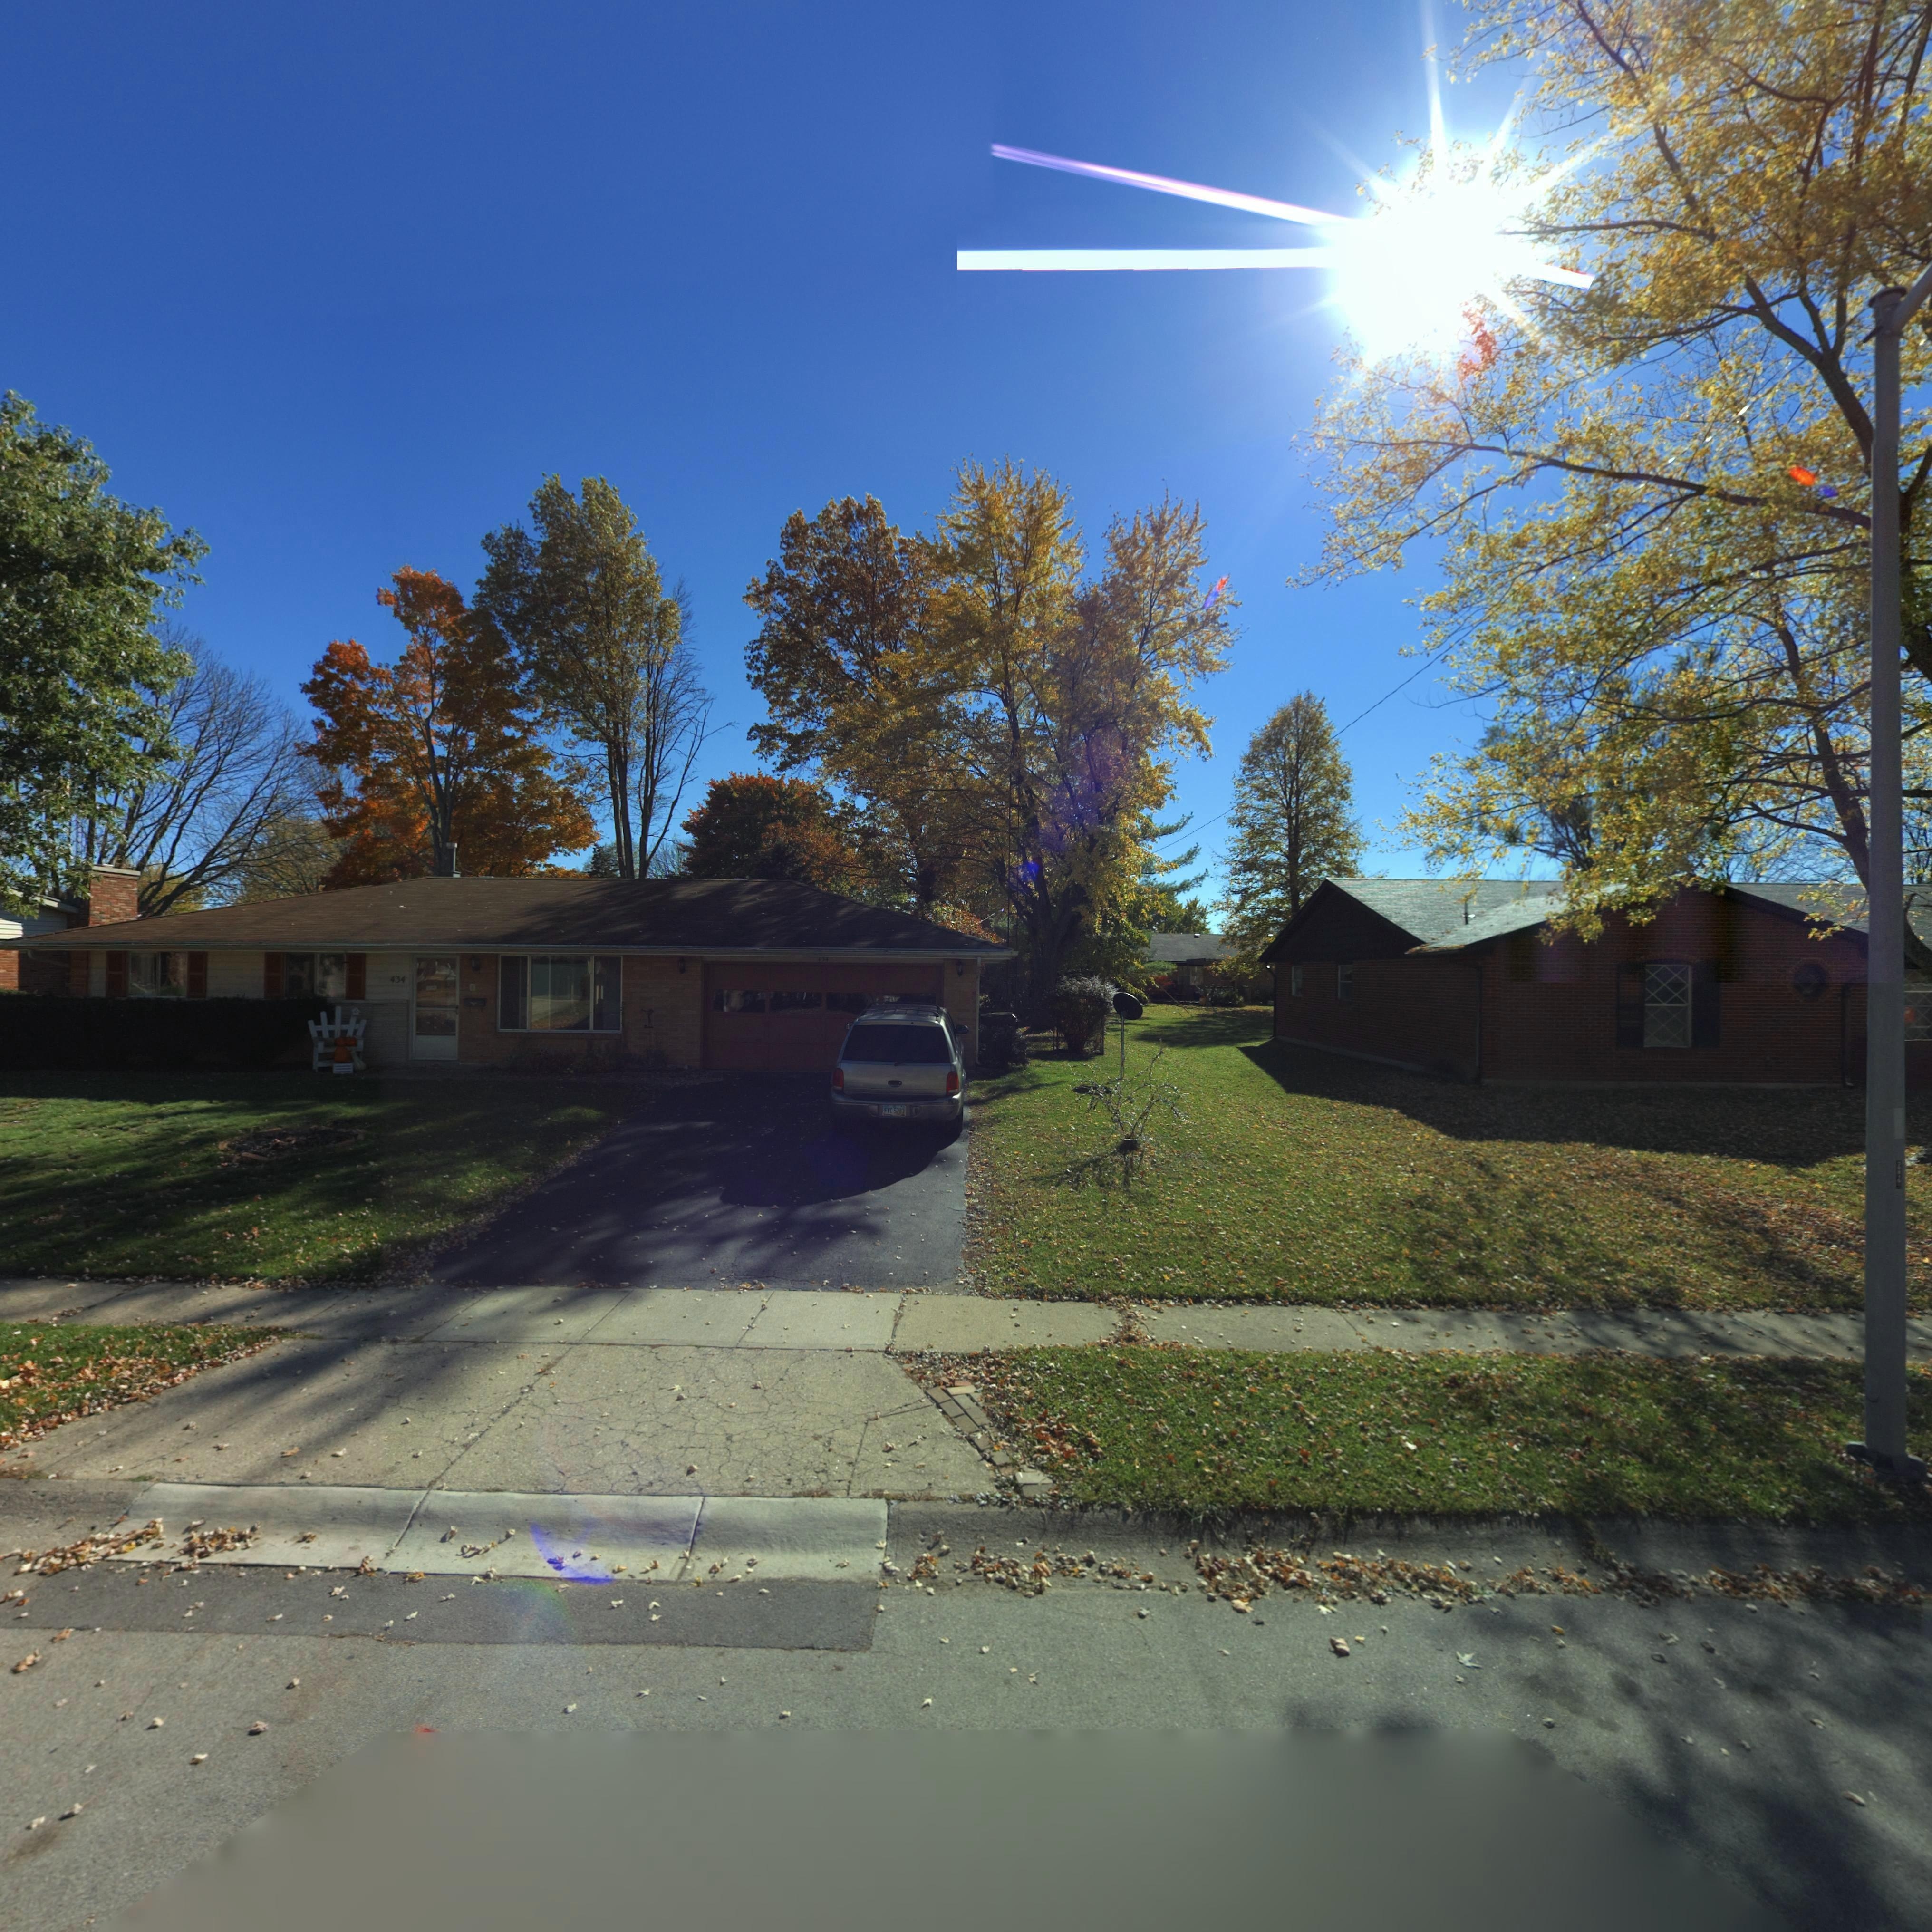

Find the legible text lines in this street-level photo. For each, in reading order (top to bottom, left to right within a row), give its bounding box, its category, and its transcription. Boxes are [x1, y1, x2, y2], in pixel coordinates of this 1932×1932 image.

[816, 956, 830, 963] StreetNumber: 4**
[388, 975, 406, 985] StreetNumber: 434
[883, 1107, 906, 1115] None: FVC*5283